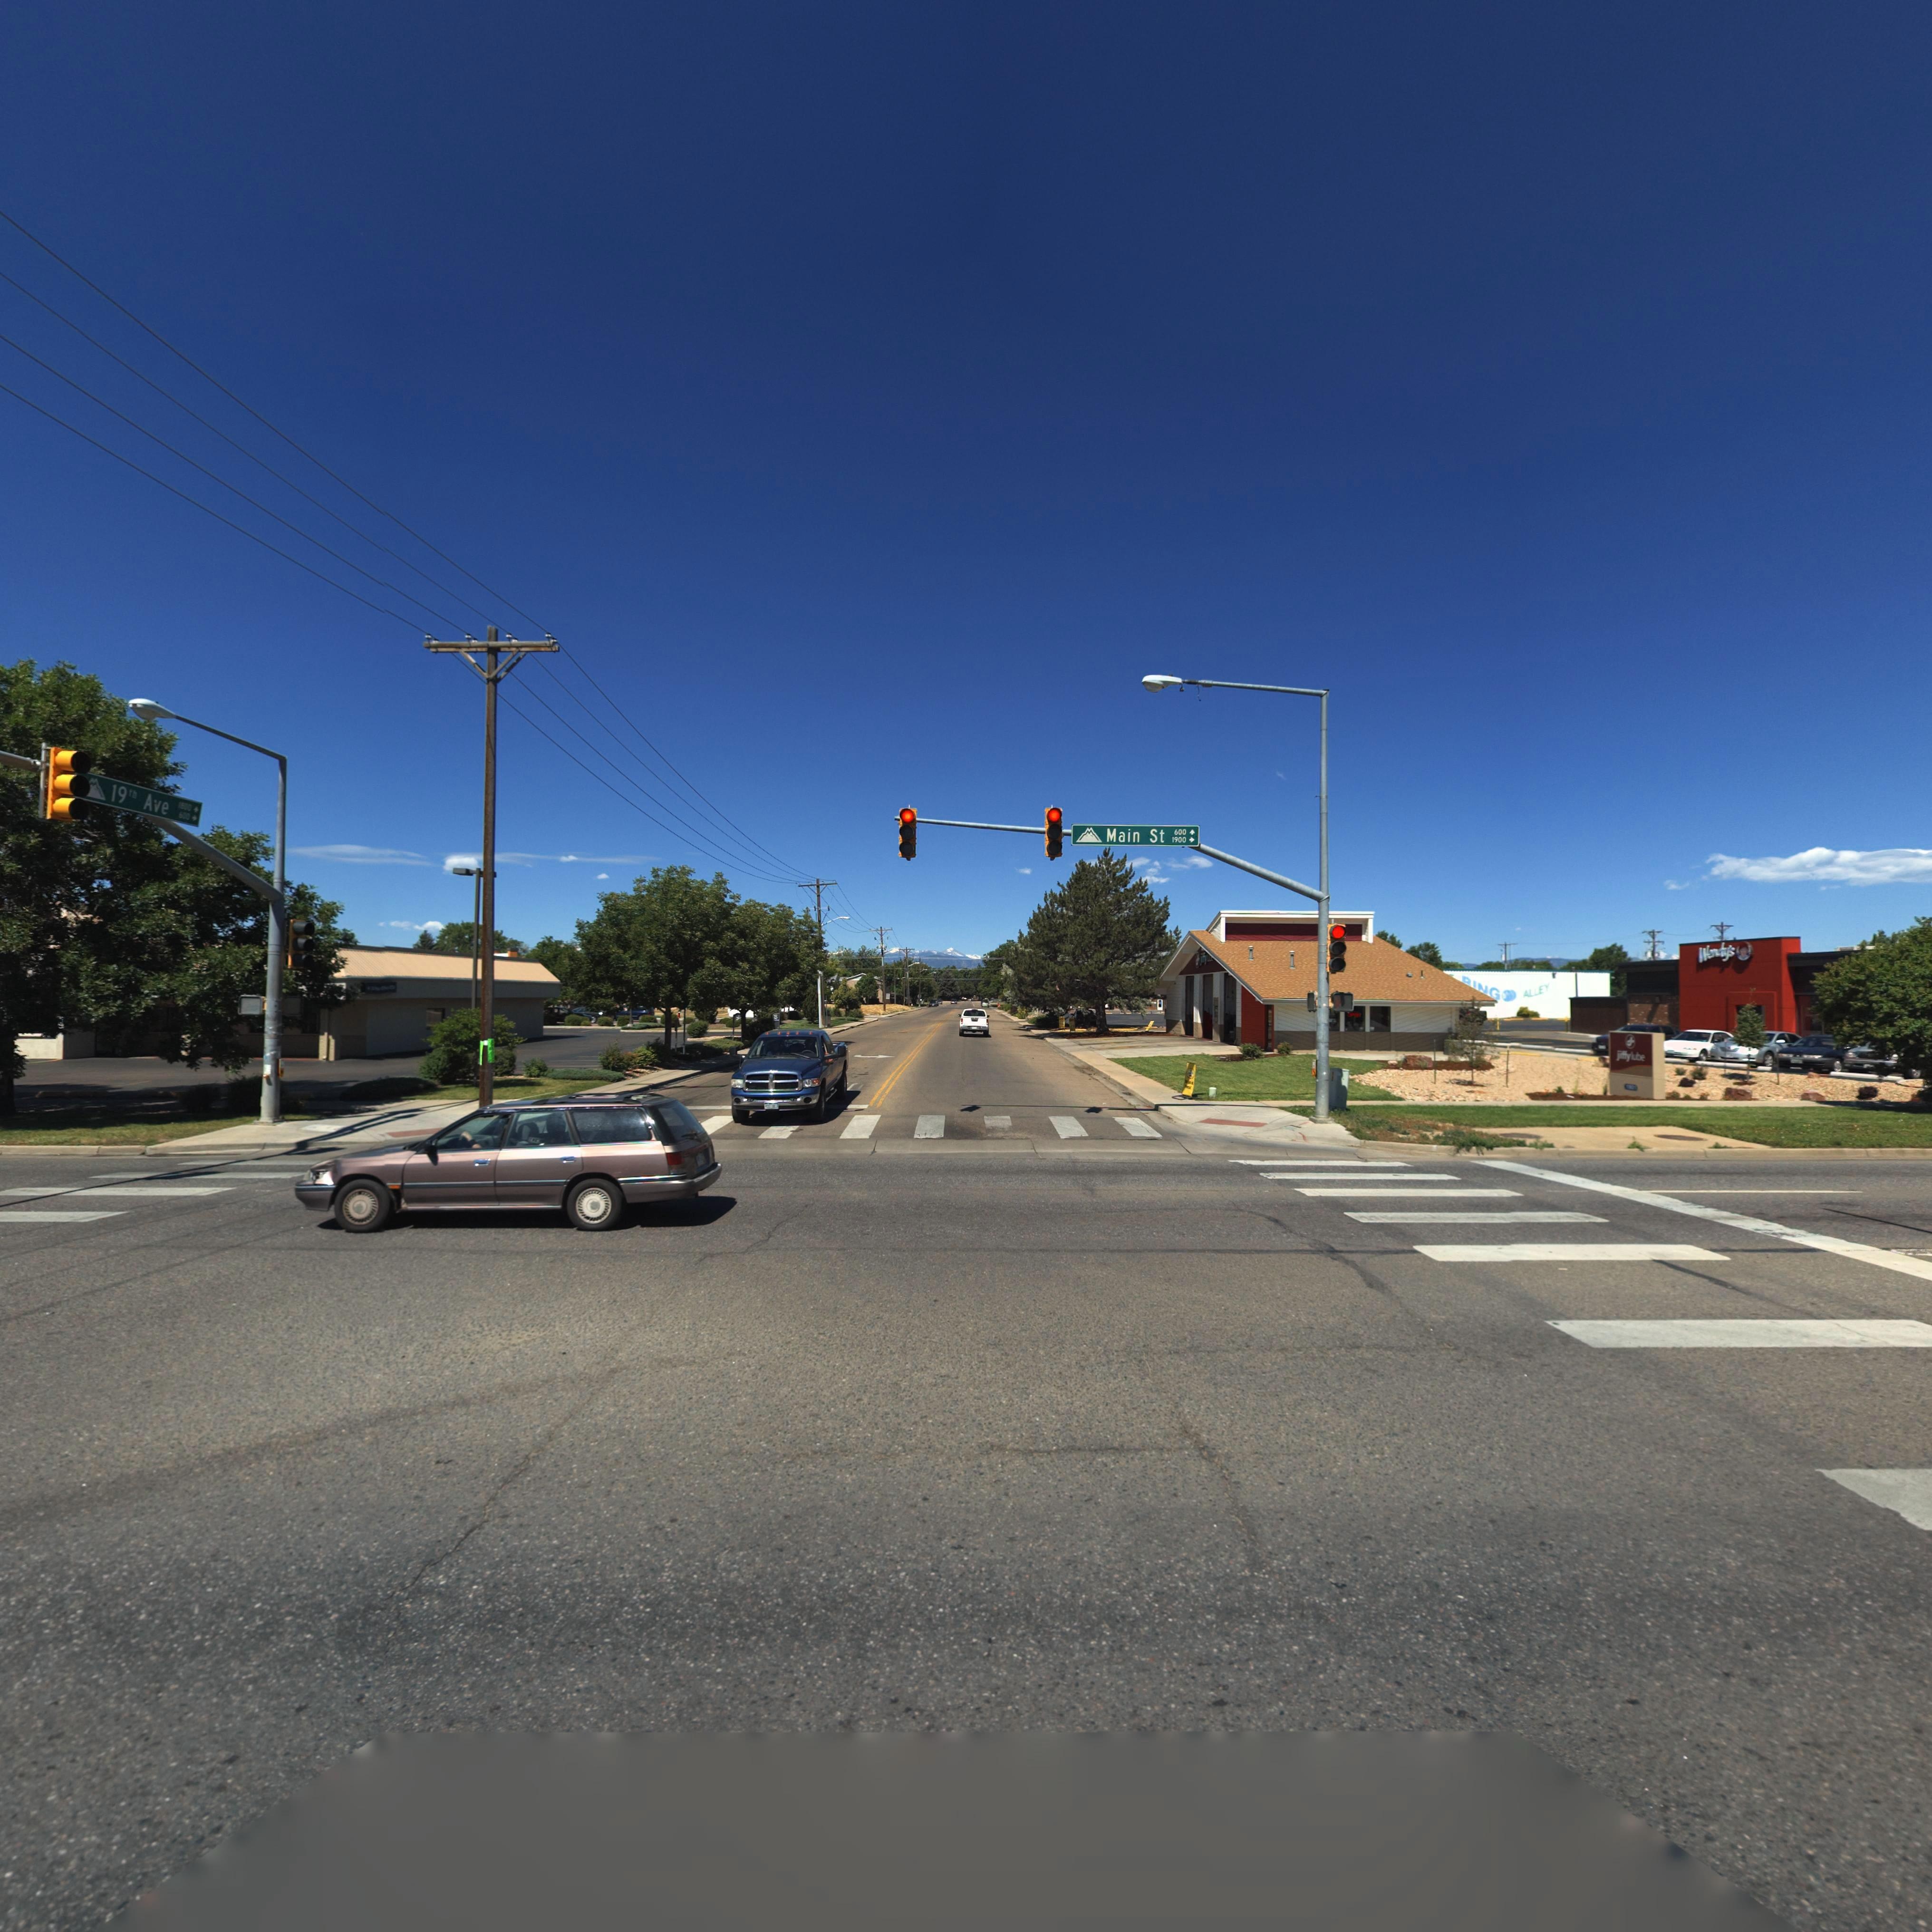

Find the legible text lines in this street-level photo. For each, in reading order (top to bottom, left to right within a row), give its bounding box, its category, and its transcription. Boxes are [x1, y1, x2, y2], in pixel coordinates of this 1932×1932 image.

[110, 783, 170, 815] StreetName: 19th Ave 
[177, 802, 192, 811] StreetNumberRange: 1600
[178, 811, 198, 821] StreetNumberRange: 500->
[1106, 827, 1165, 843] StreetName: Main St
[1173, 829, 1187, 835] StreetNumberRange: 600
[1171, 836, 1195, 843] StreetNumberRange: 1900->
[1199, 951, 1207, 966] BusinessName: jiffy
[1698, 941, 1736, 964] BusinessName: Wendy's
[1461, 975, 1550, 1004] BusinessName: ***G* ALLEY
[1616, 1050, 1646, 1063] BusinessName: jiffylube